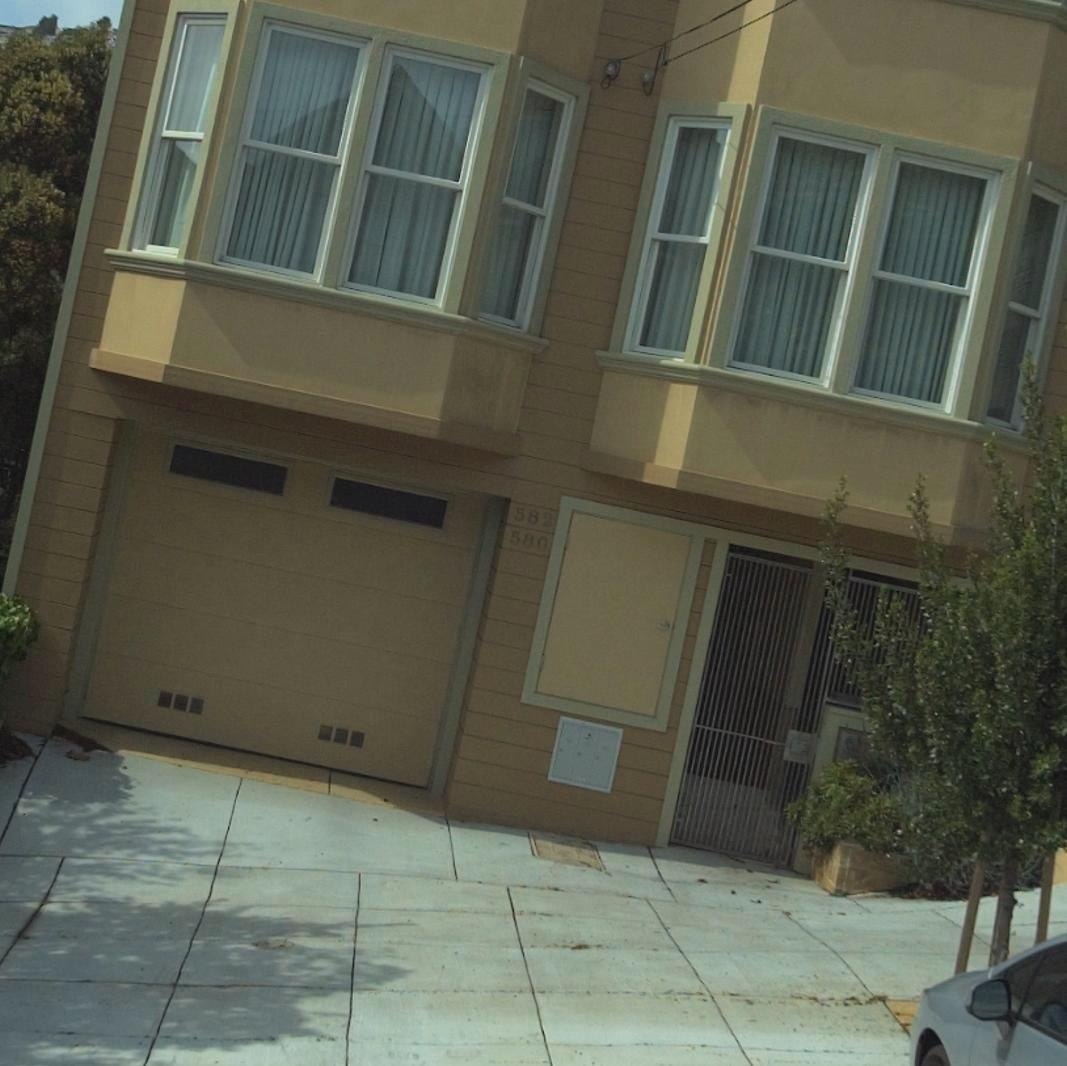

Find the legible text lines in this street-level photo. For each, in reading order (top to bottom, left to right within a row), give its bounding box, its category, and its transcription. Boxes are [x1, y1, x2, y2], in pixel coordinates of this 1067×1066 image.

[512, 504, 557, 530] StreetNumber: 582
[506, 527, 551, 557] StreetNumber: 580